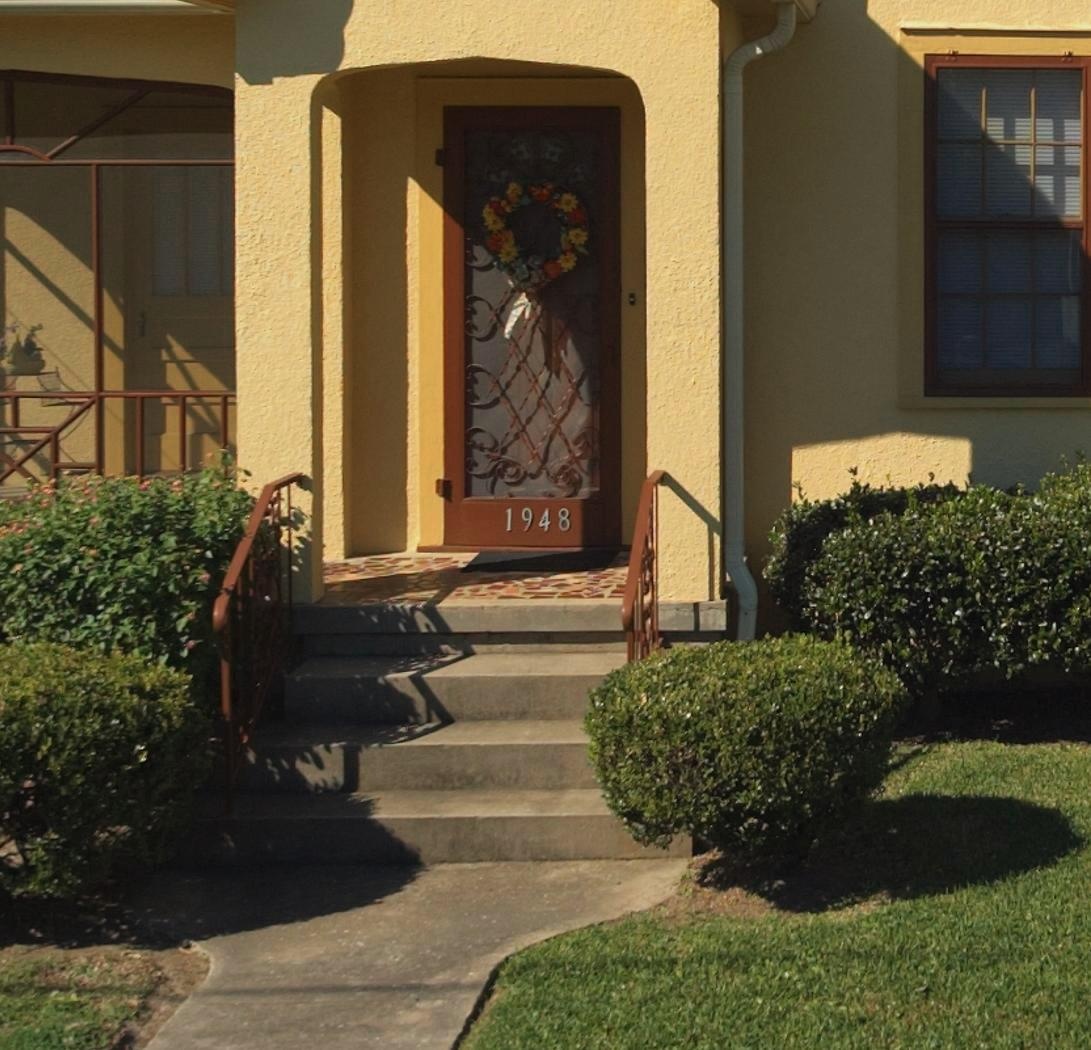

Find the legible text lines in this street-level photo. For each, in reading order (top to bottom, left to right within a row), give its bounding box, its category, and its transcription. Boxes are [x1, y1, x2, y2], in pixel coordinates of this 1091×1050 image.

[503, 505, 572, 534] StreetNumber: 1948